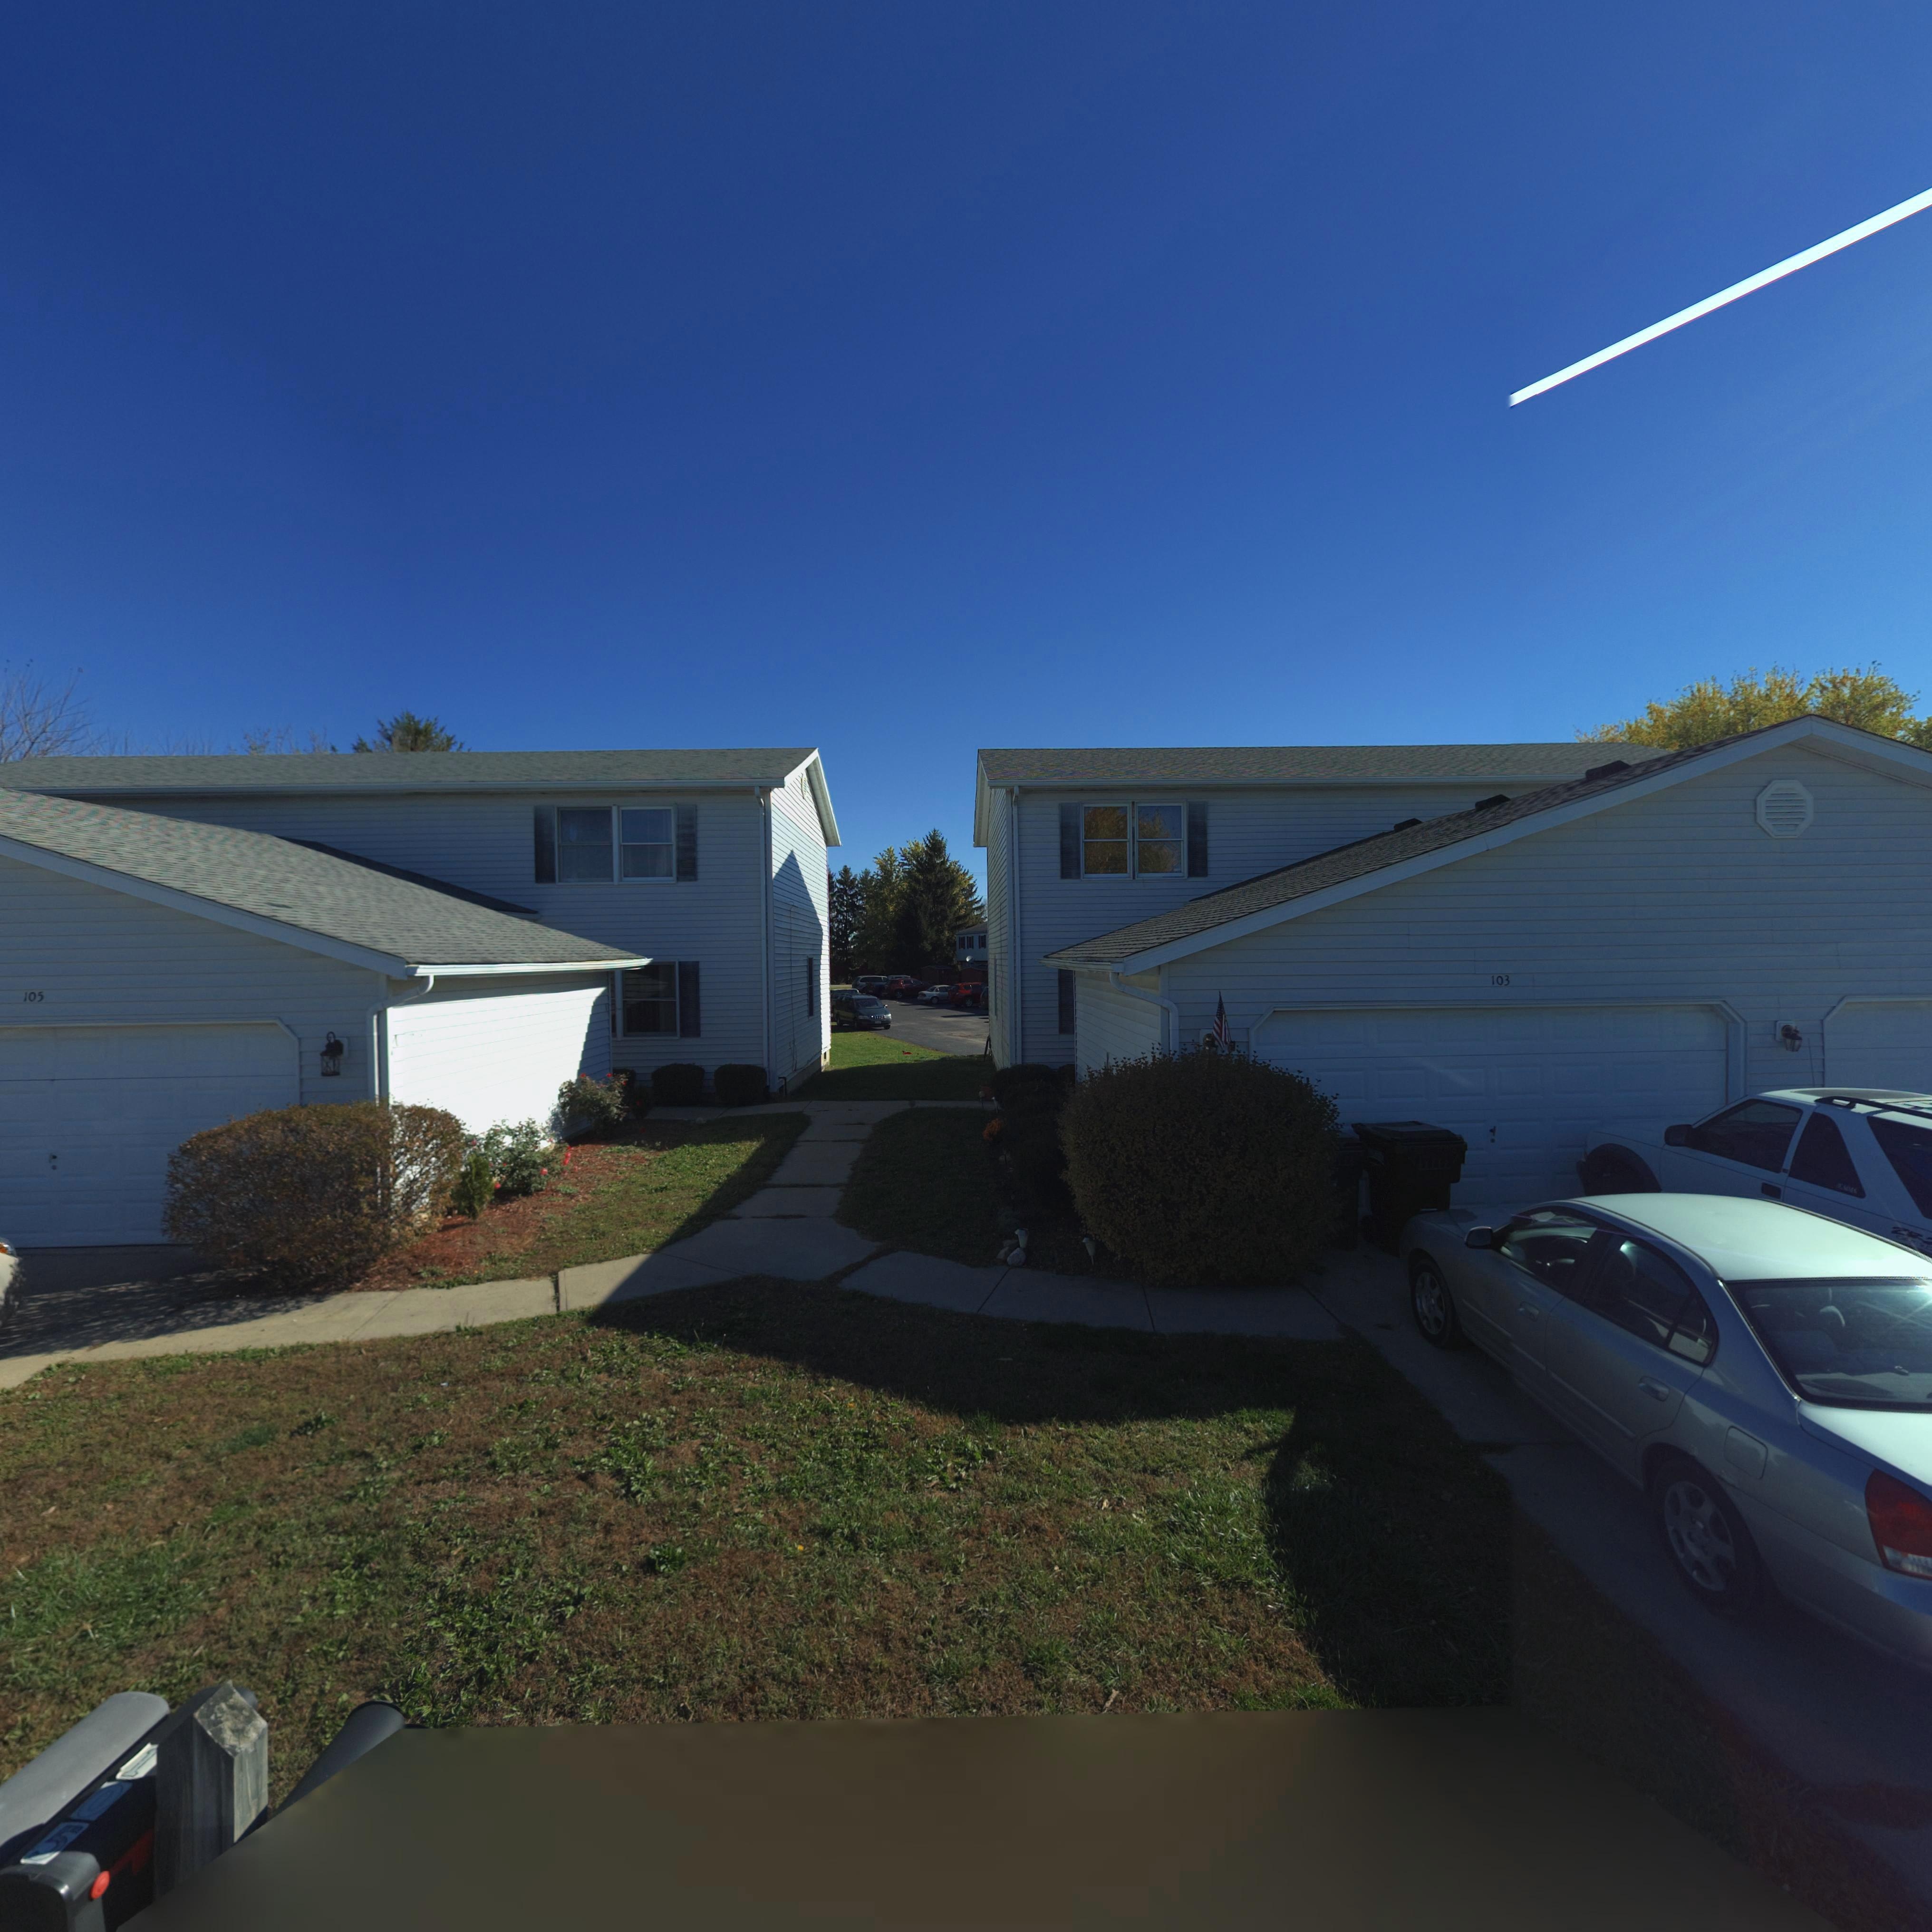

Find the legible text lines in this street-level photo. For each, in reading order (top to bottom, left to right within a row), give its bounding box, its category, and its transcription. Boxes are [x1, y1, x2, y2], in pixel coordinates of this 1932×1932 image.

[1490, 974, 1510, 986] StreetNumber: 103
[23, 991, 44, 1003] StreetNumber: 105